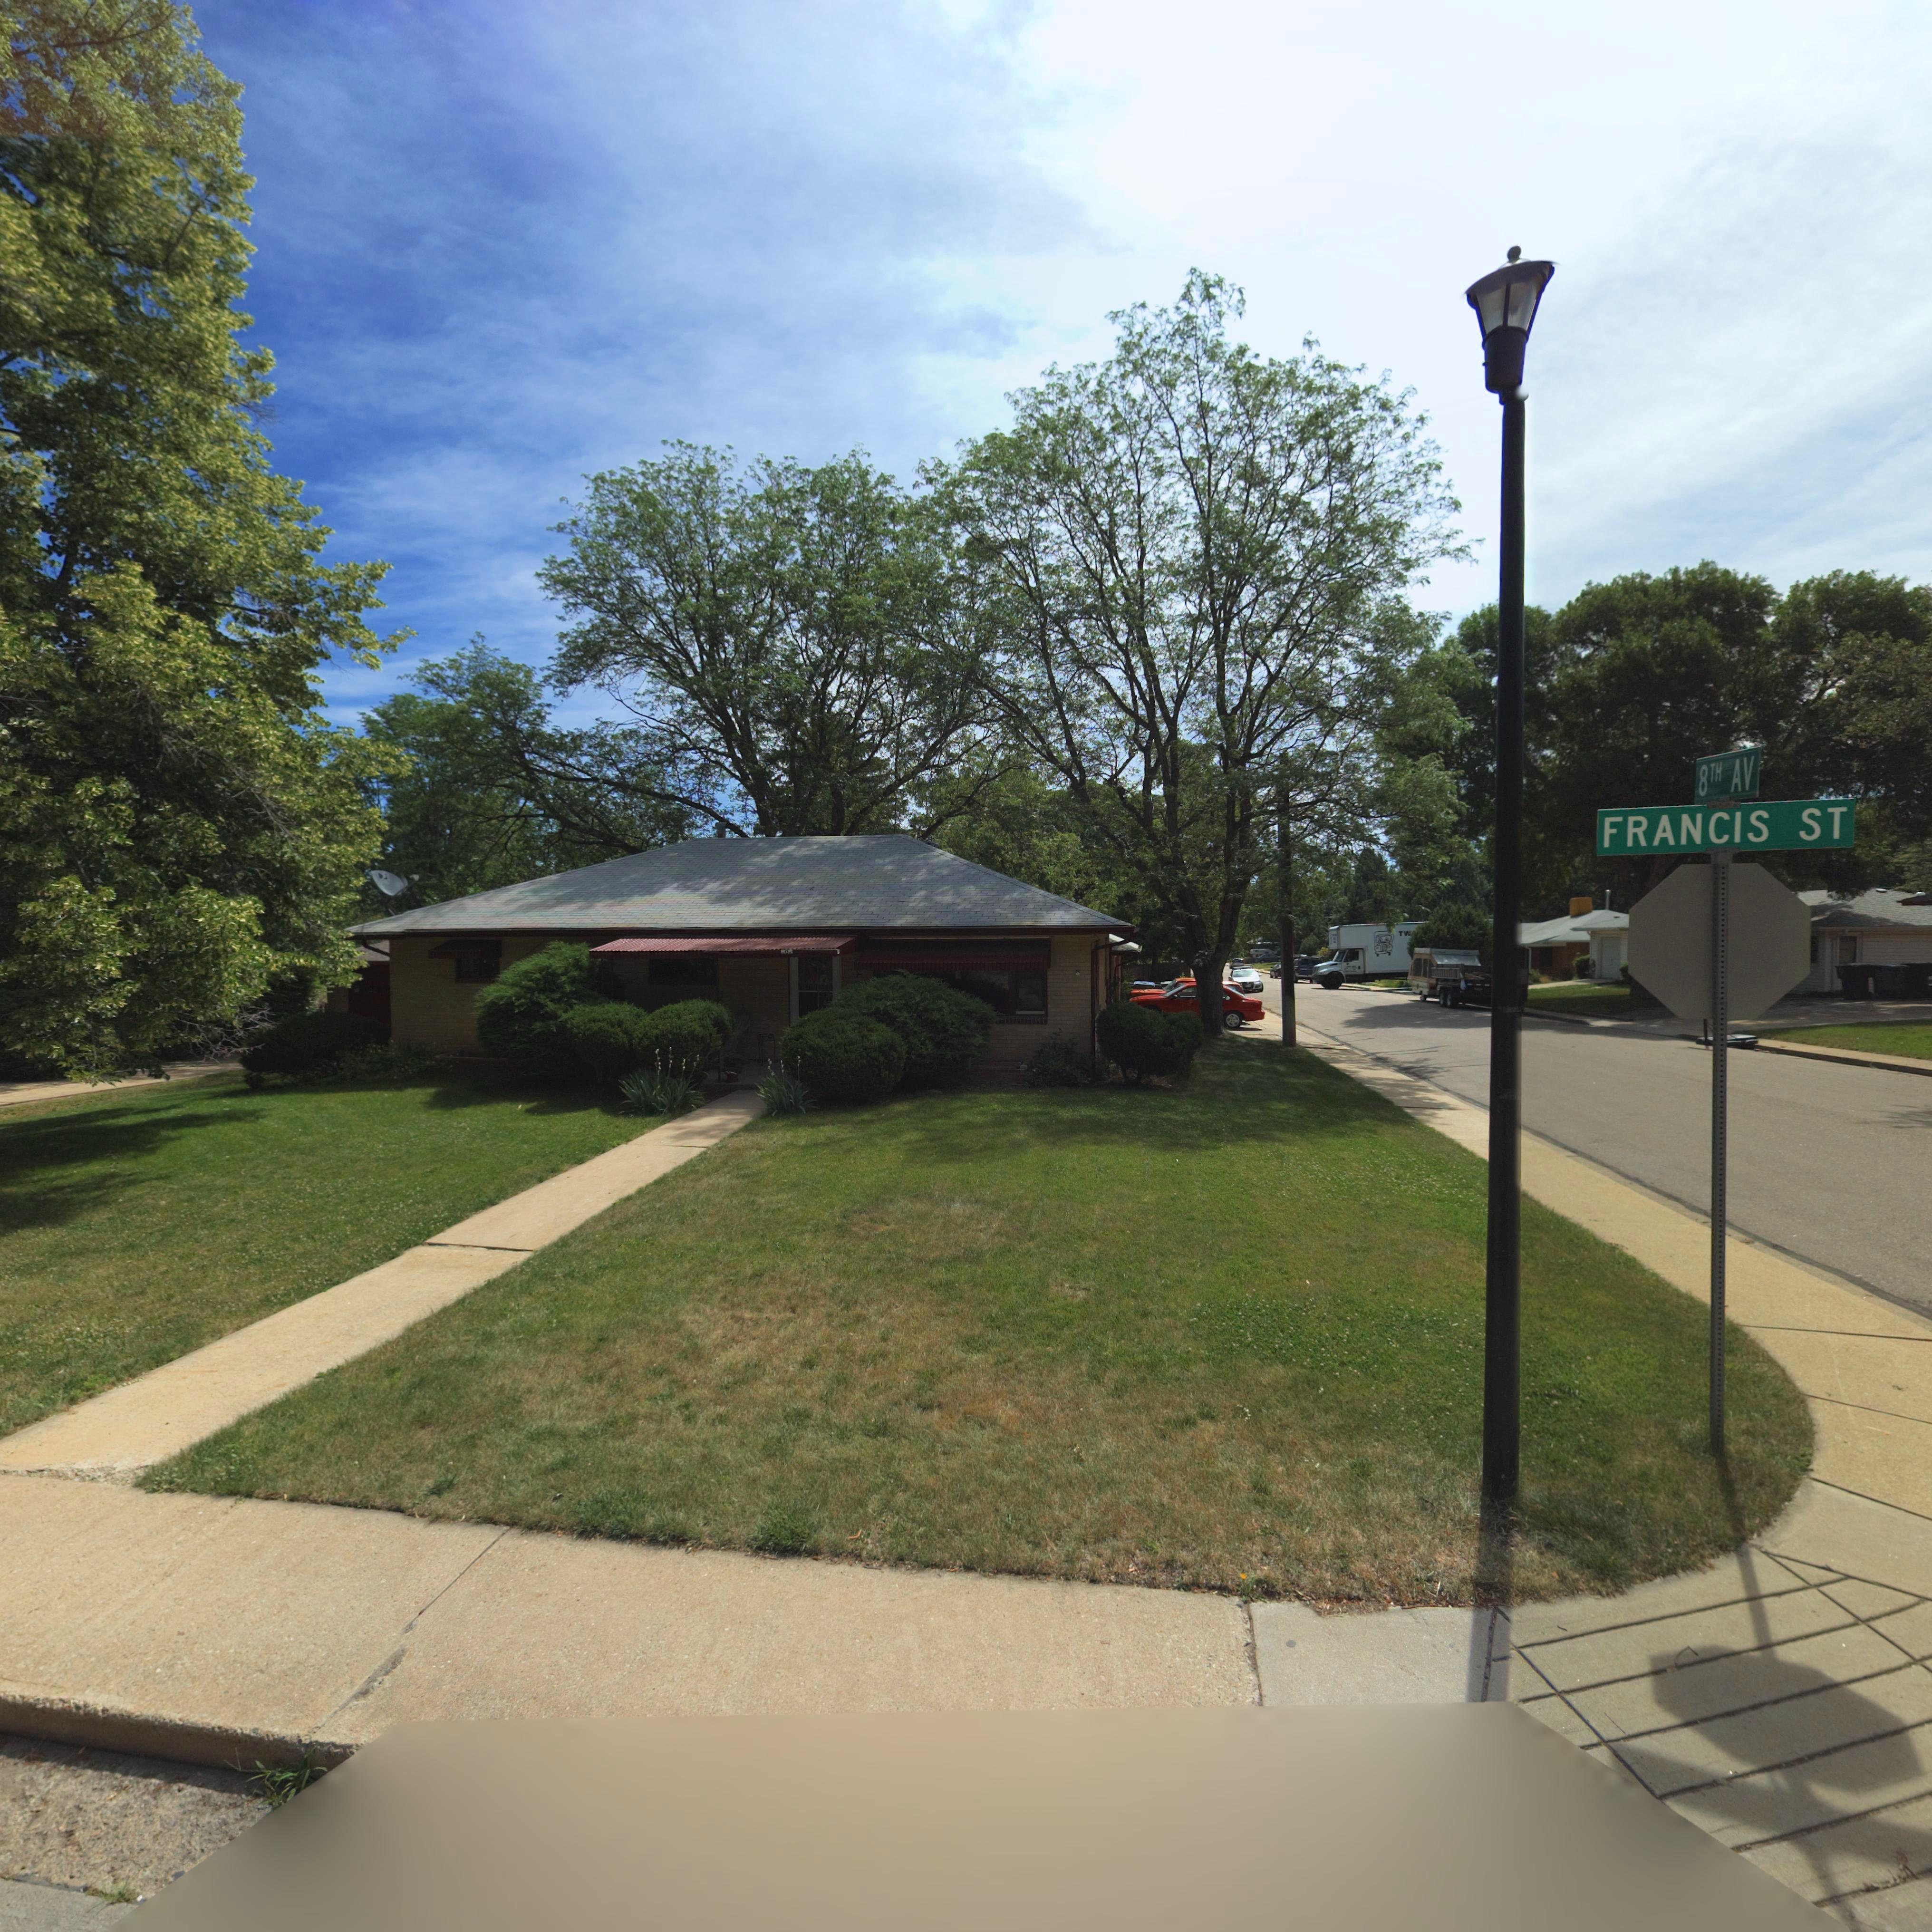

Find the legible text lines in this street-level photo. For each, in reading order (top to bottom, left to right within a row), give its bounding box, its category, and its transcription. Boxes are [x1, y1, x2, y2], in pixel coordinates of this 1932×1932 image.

[1698, 755, 1755, 797] StreetName: 8TH AV
[1603, 806, 1849, 849] StreetName: FRANCIS ST